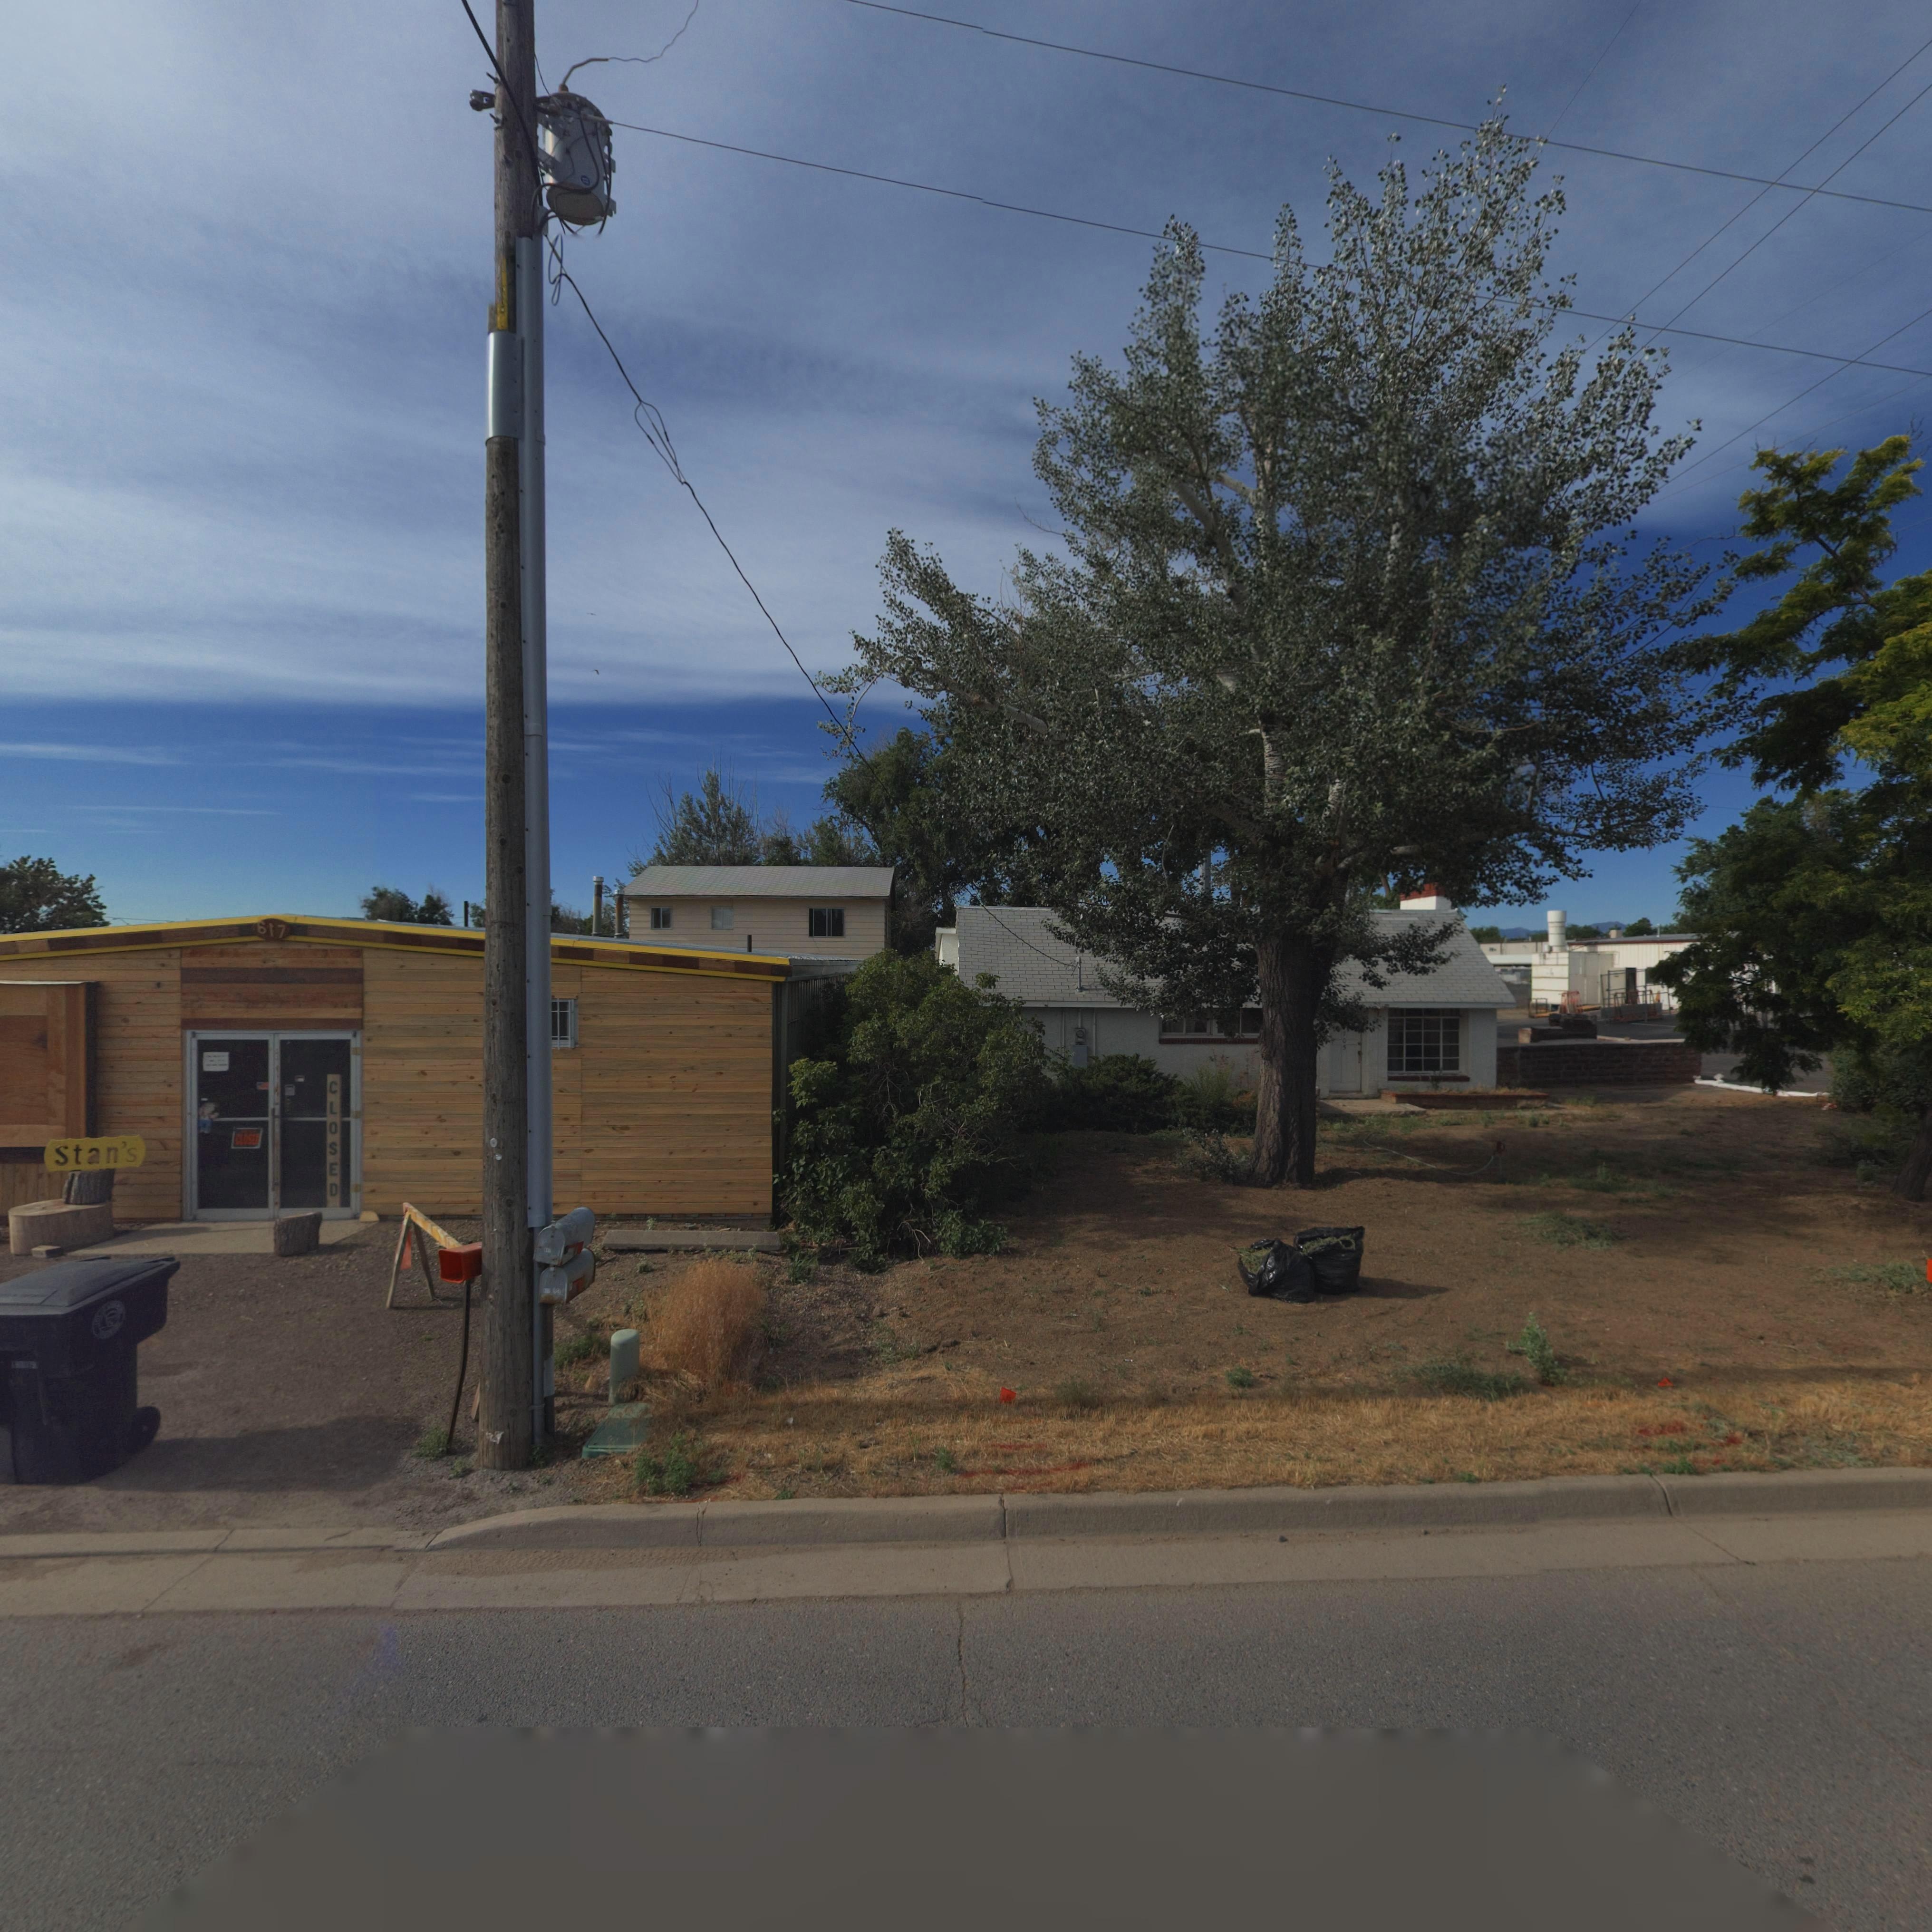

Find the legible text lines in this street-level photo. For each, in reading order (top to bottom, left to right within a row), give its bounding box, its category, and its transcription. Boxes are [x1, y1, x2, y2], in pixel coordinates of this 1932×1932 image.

[256, 920, 286, 939] StreetNumber: 617
[53, 1140, 140, 1168] BusinessName: Stan's